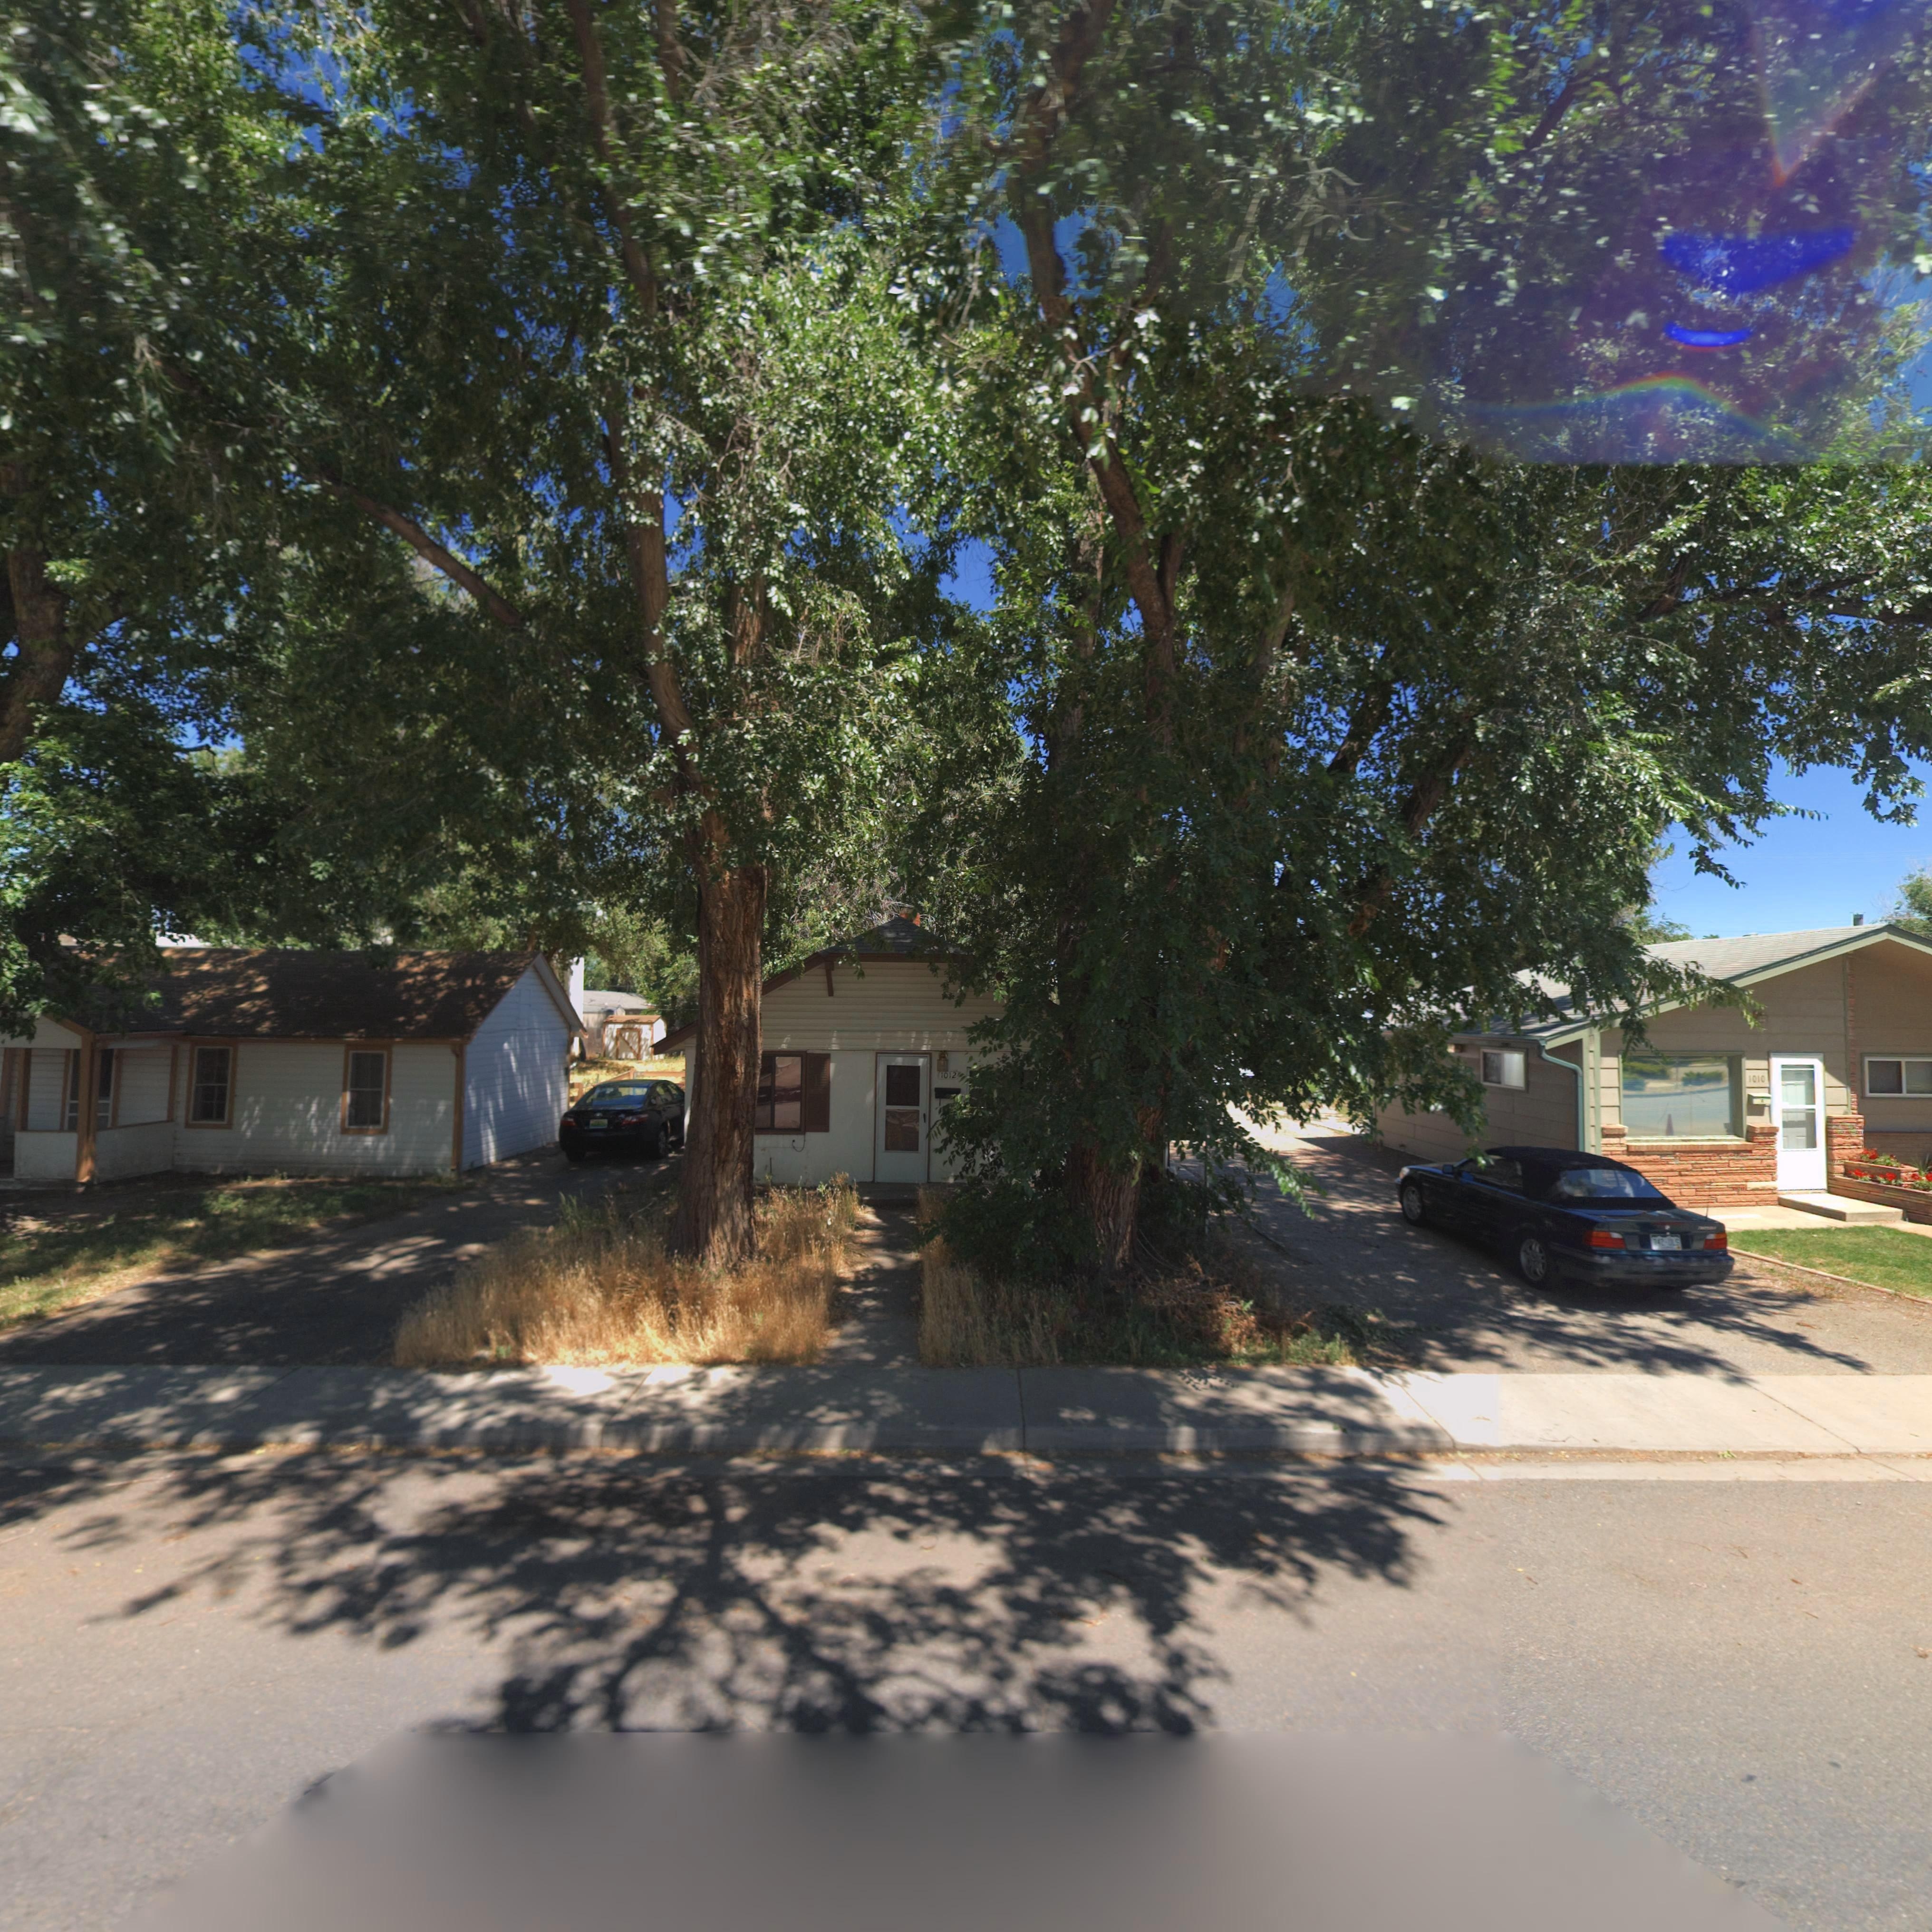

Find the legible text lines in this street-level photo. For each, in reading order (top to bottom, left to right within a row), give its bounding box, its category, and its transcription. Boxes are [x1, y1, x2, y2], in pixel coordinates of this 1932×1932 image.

[940, 1072, 957, 1079] StreetNumber: 1012
[1748, 1075, 1765, 1083] StreetNumber: 1010